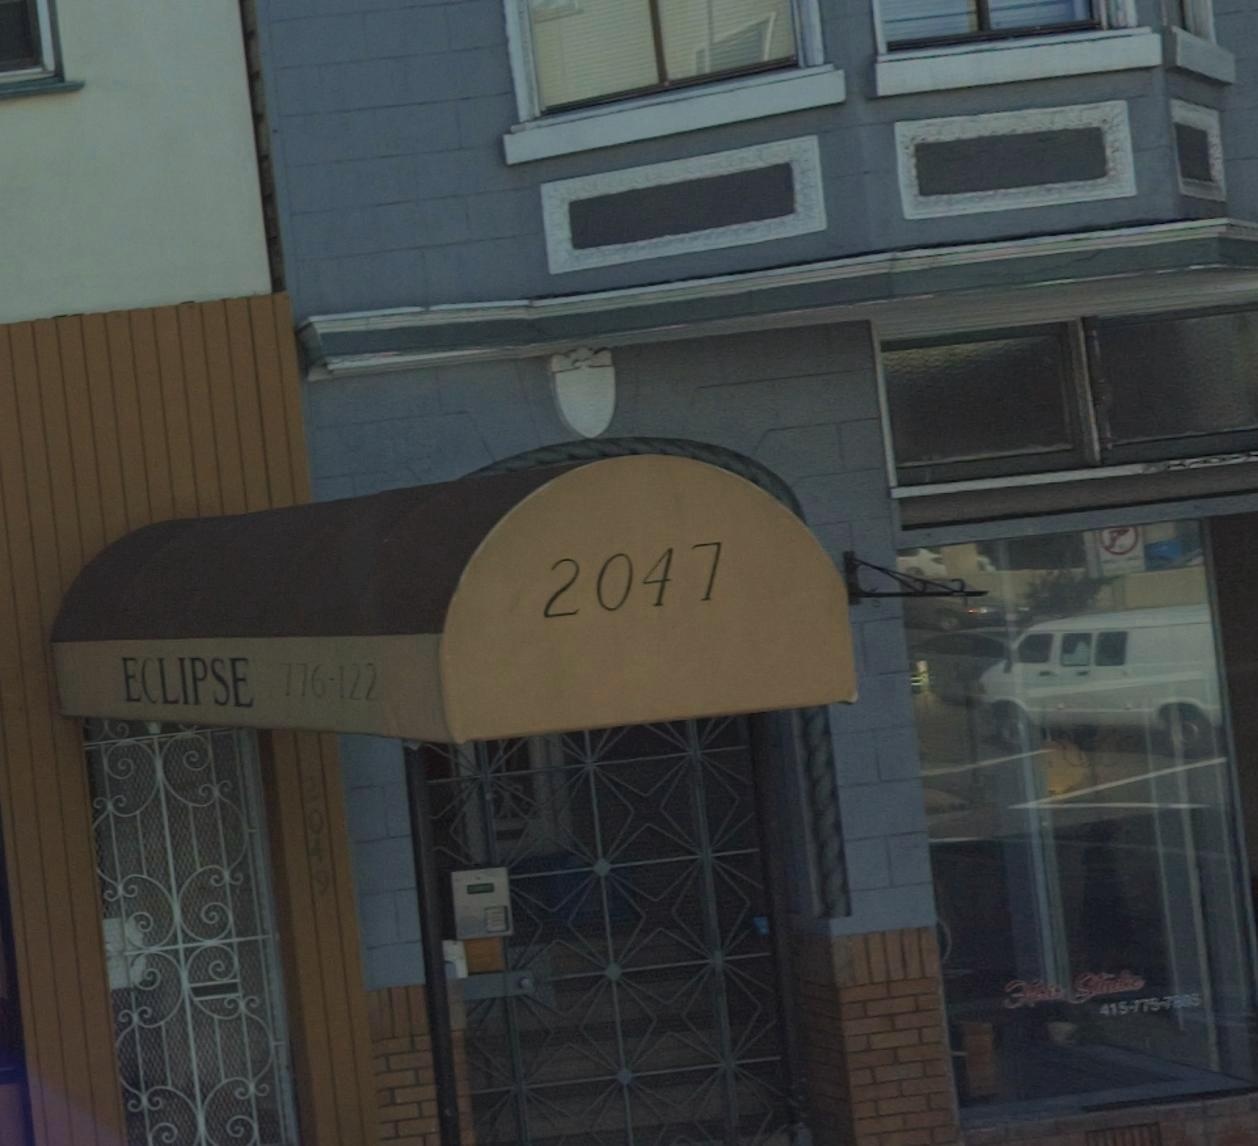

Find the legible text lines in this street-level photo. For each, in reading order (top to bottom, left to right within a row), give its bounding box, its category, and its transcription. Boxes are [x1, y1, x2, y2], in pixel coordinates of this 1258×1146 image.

[539, 538, 727, 621] StreetNumber: 2047
[119, 656, 256, 709] BusinessName: ECLIPSE
[280, 661, 381, 702] None: 776-122
[299, 772, 331, 898] StreetNumber: 2049
[1098, 991, 1202, 1018] None: 415-775-7603